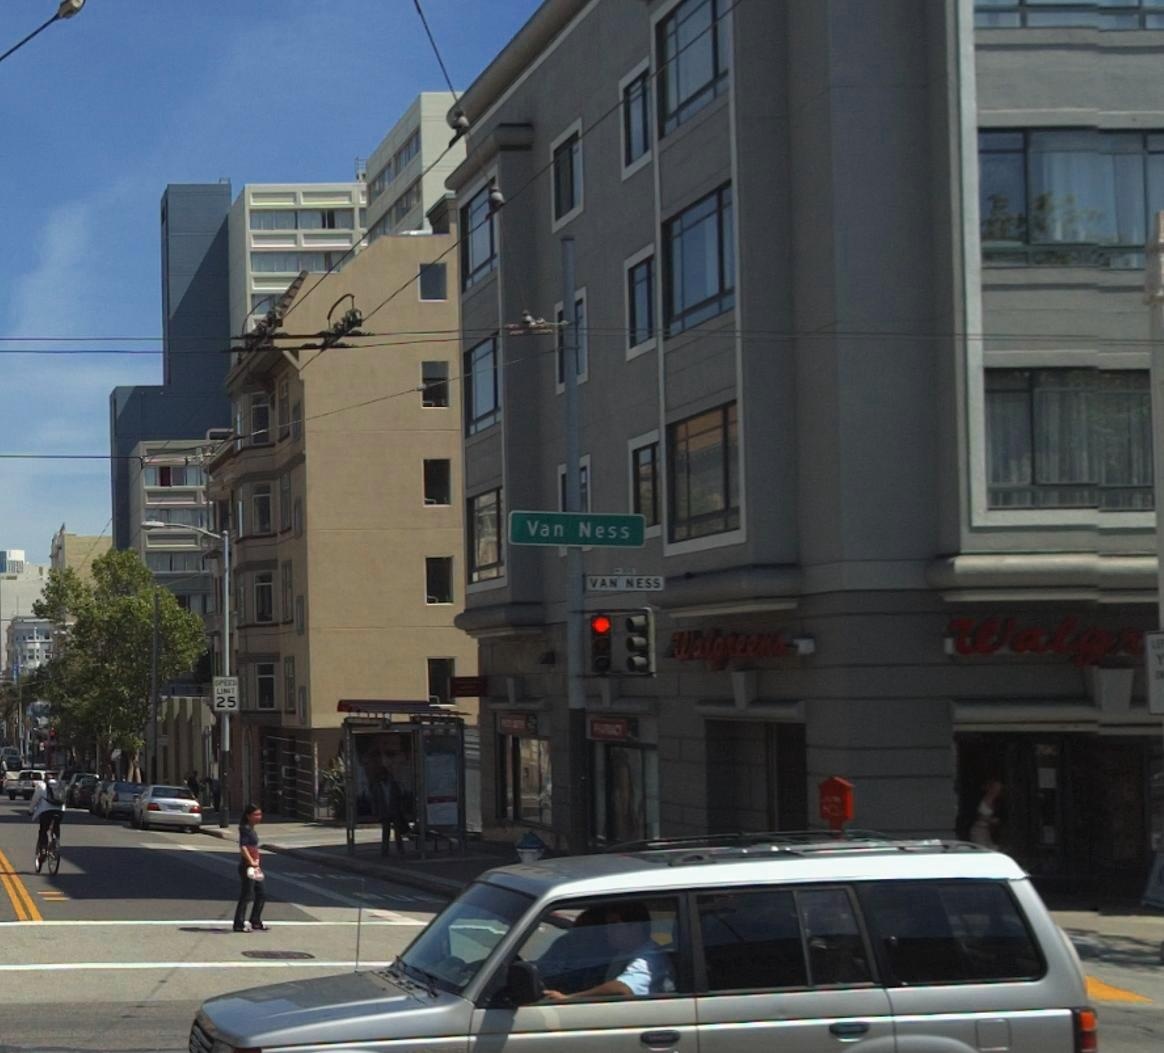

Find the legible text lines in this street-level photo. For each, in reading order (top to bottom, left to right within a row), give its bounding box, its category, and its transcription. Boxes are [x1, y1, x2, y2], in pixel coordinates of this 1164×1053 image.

[523, 519, 630, 541] StreetName: Van Ness
[587, 577, 661, 590] StreetName: VAN NESS
[943, 615, 1147, 669] BusinessName: Walgr
[670, 626, 791, 674] BusinessName: Walgreens
[214, 677, 238, 687] None: SPEED
[215, 686, 238, 694] None: LIMIT
[215, 694, 237, 709] None: 25